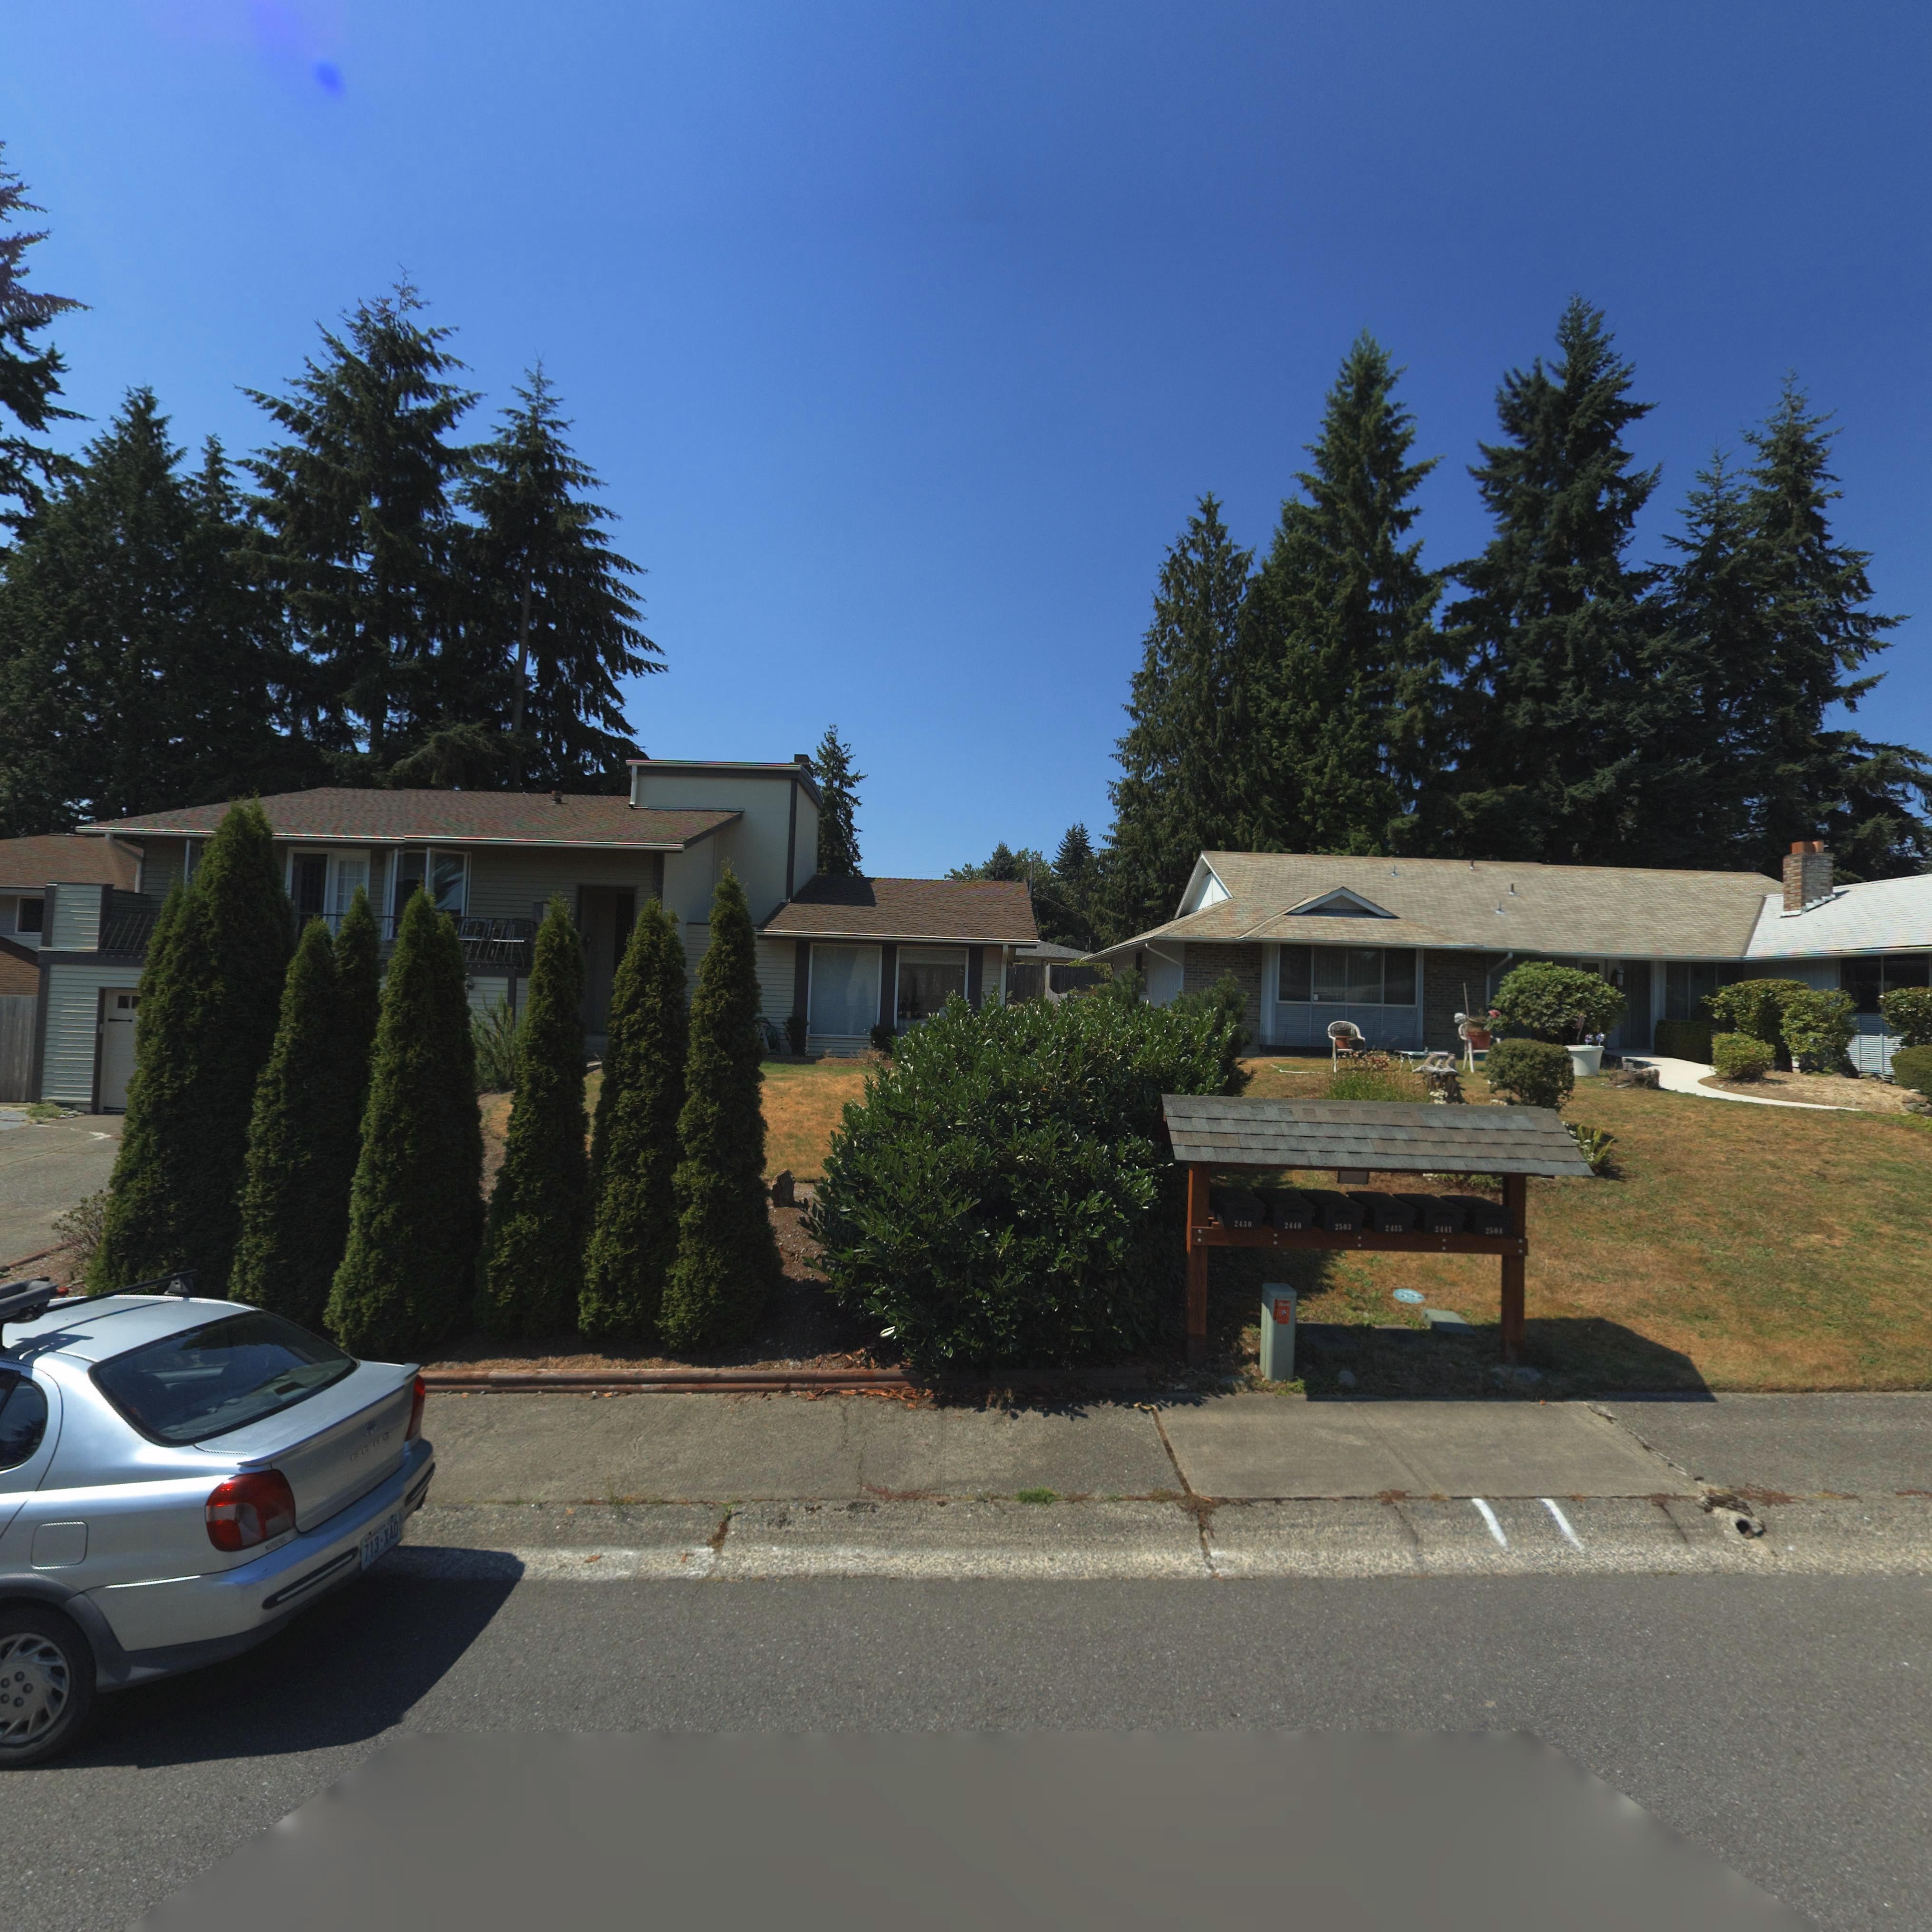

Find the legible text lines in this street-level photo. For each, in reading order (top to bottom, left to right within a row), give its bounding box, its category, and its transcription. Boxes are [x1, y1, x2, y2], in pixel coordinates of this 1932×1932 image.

[1234, 1220, 1252, 1227] StreetNumber: 2430
[1283, 1221, 1302, 1230] StreetNumber: 2430
[1434, 1225, 1453, 1236] StreetNumber: 2435